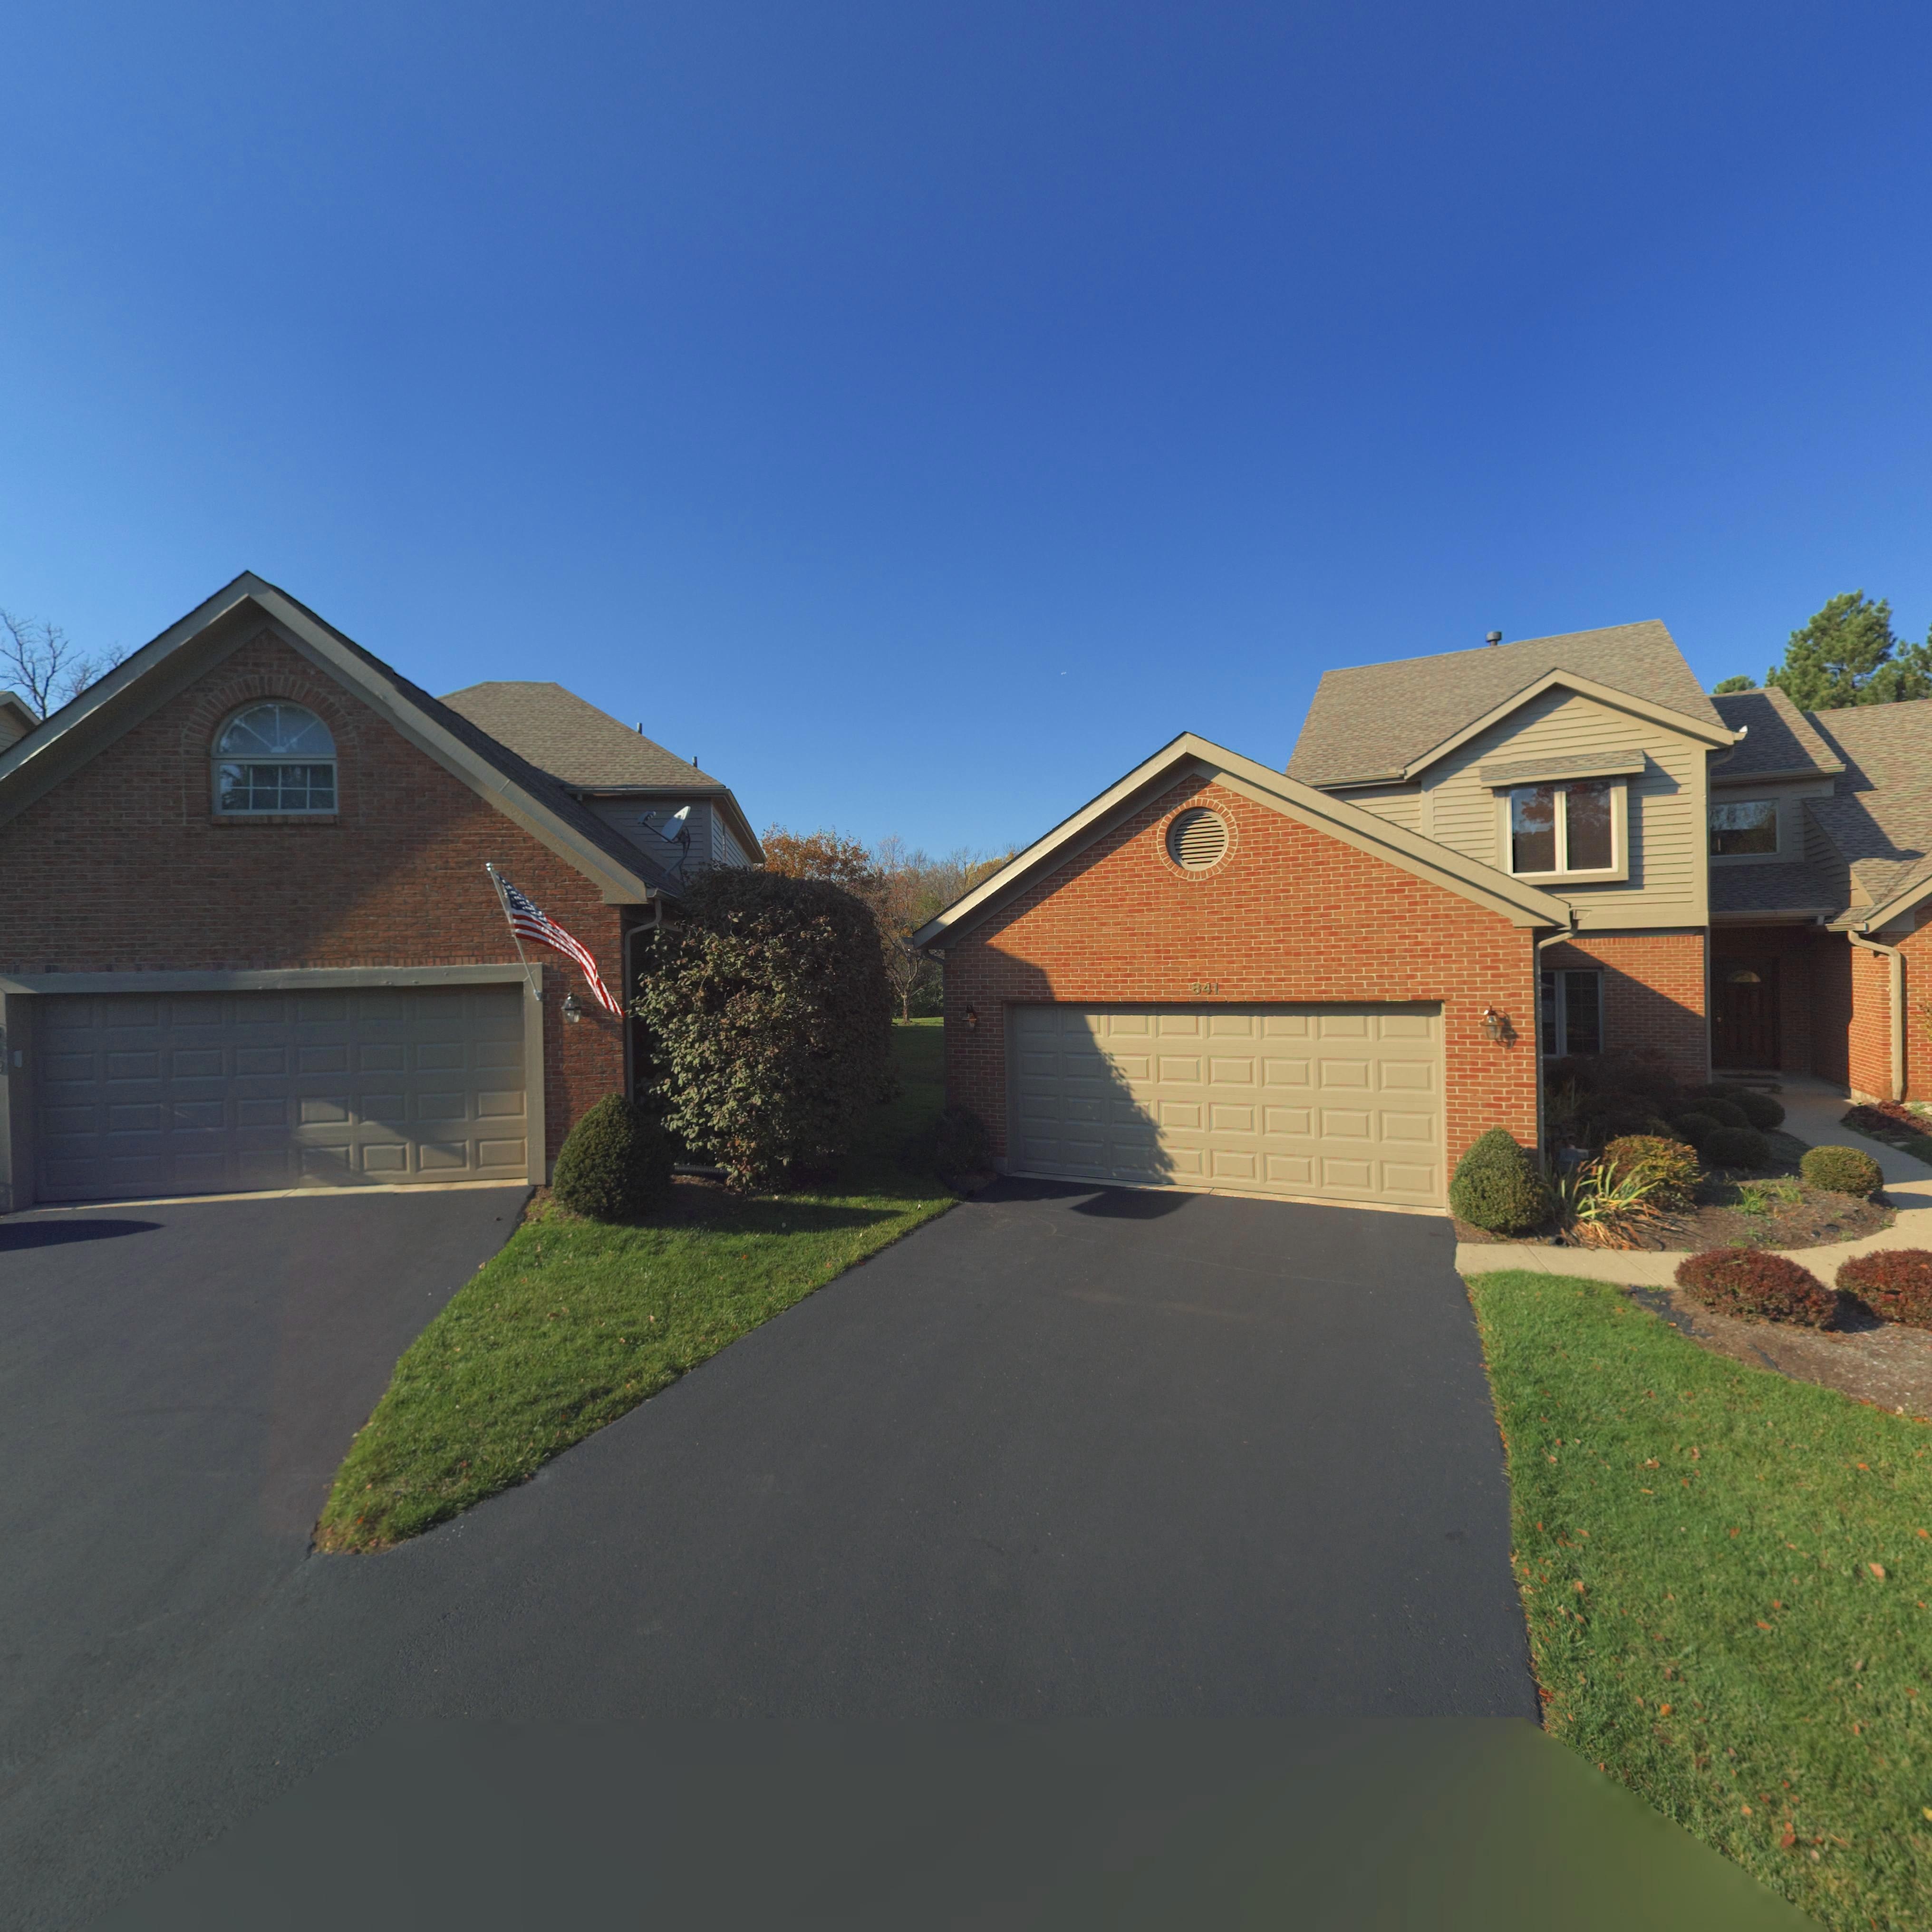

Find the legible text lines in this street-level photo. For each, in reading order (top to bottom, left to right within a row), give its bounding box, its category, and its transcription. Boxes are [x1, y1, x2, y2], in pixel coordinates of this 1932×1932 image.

[1191, 981, 1219, 996] StreetNumber: 841